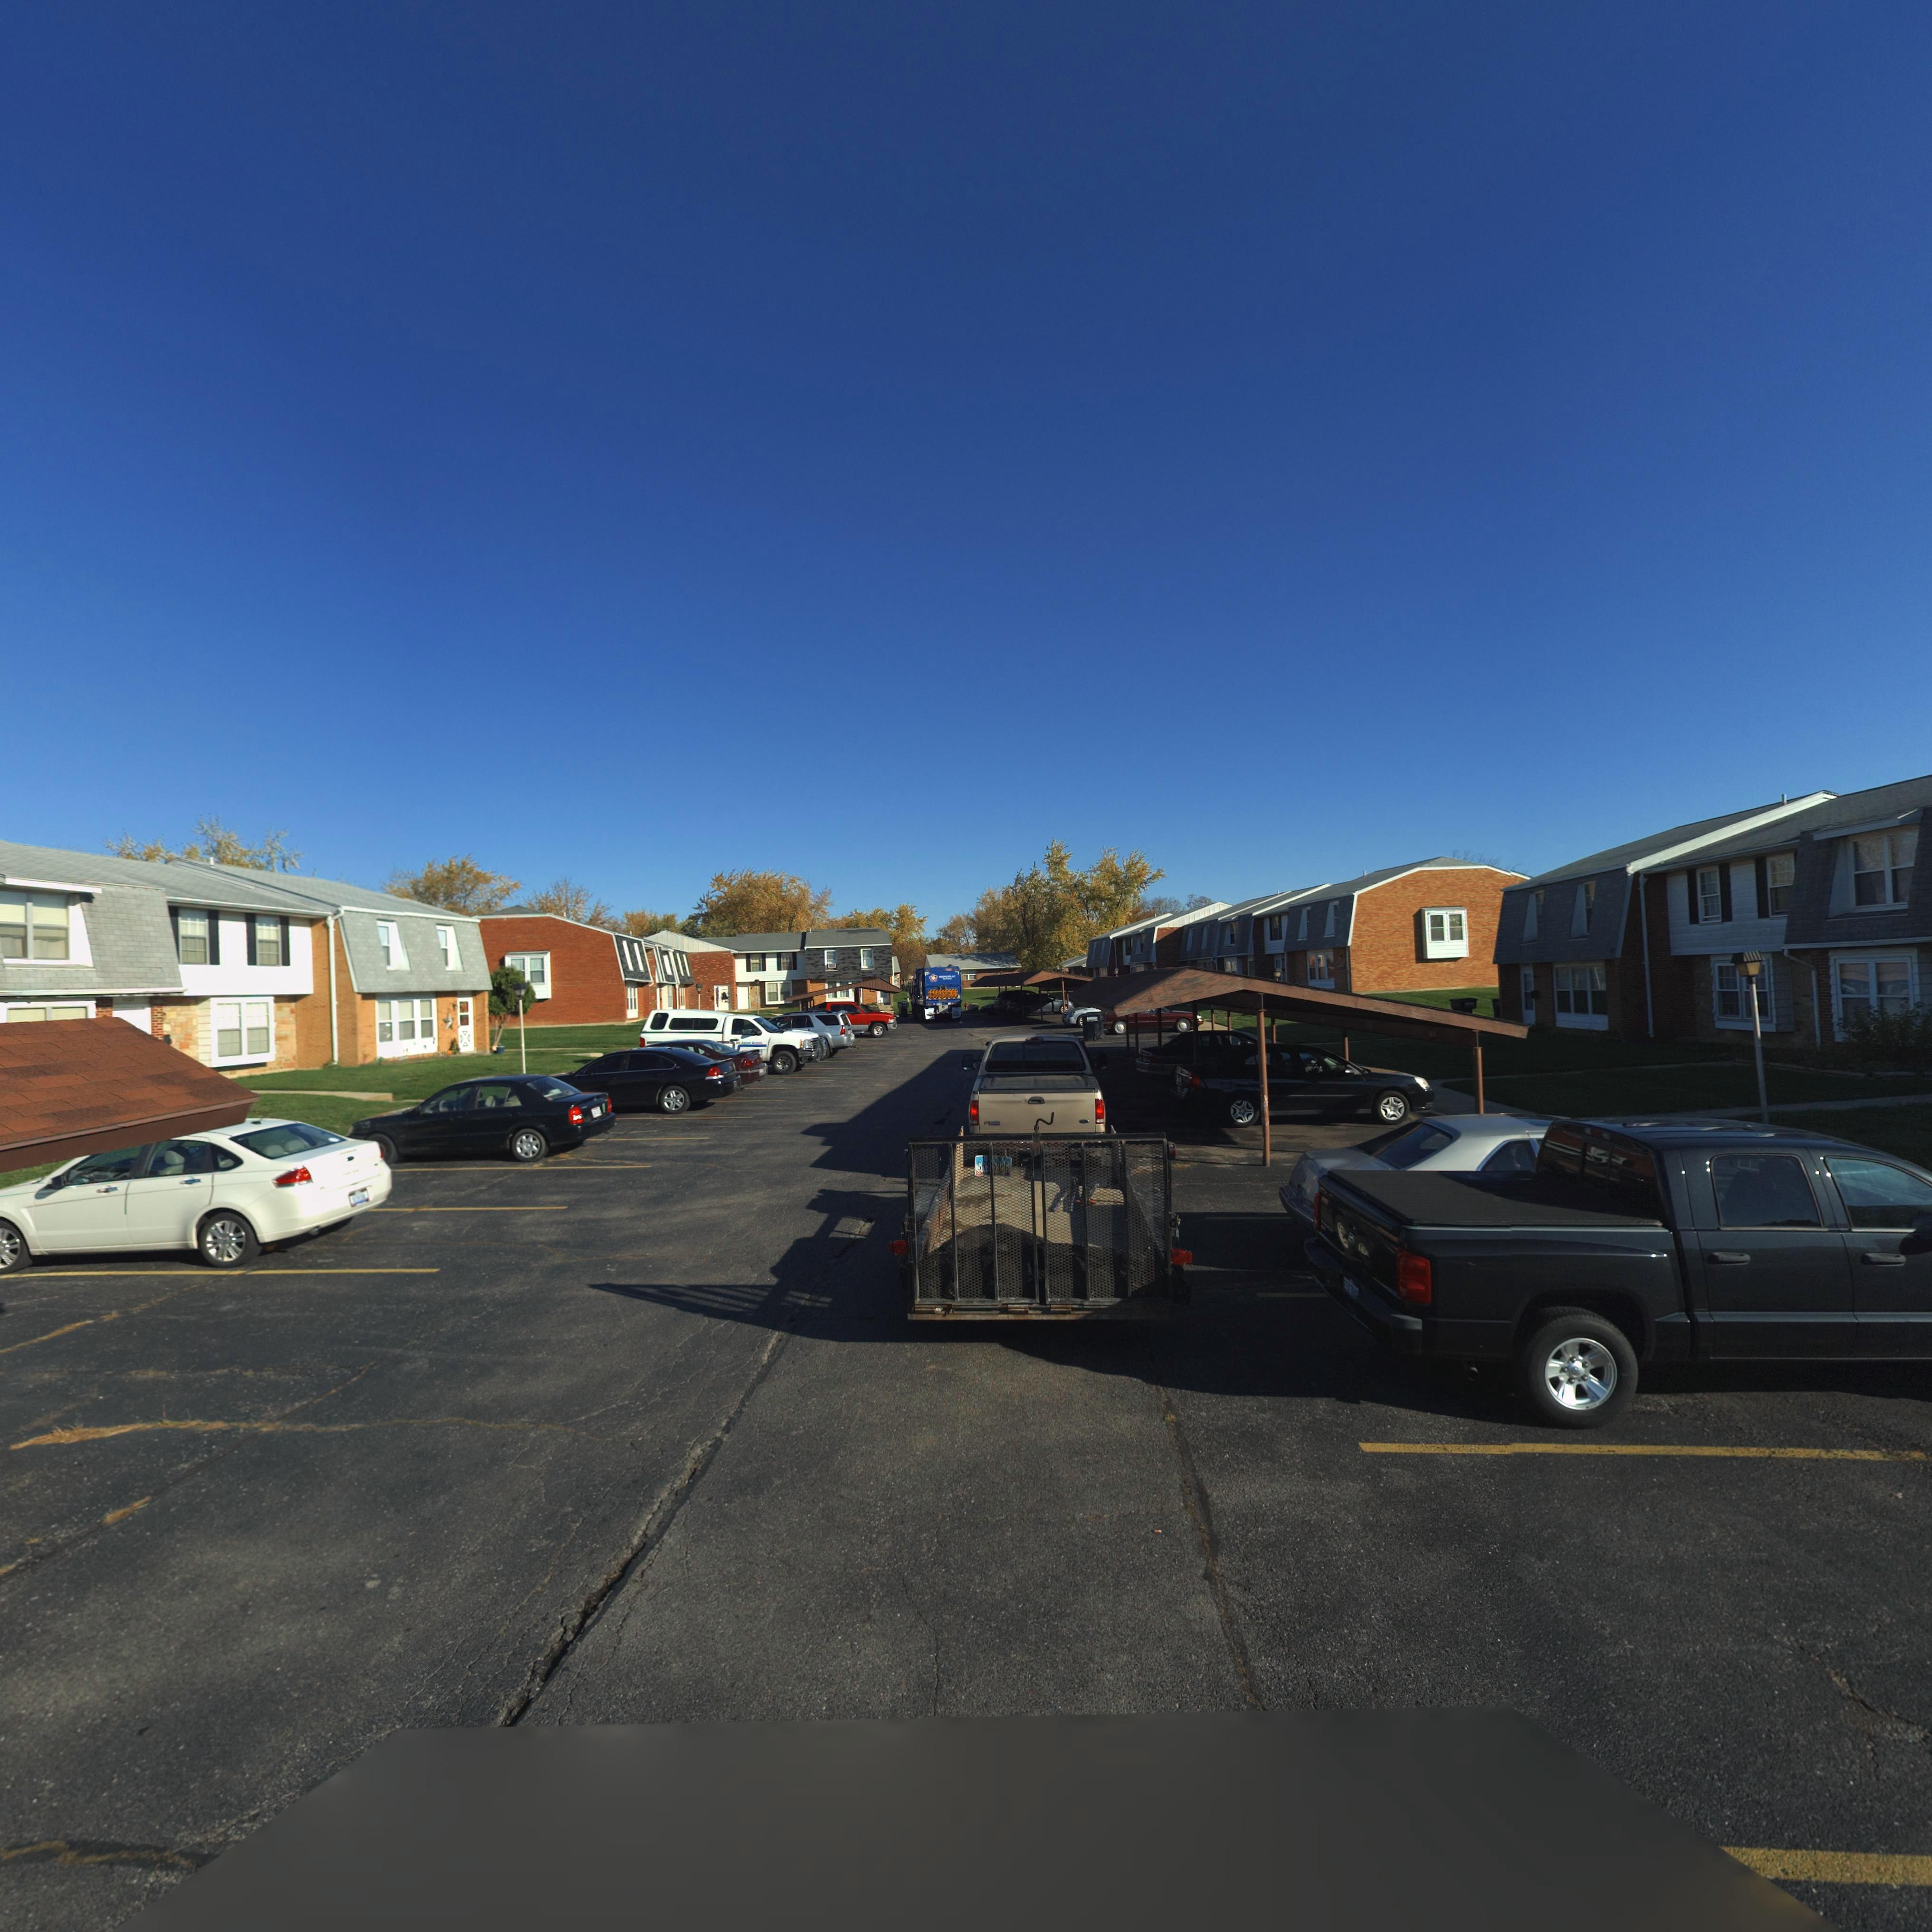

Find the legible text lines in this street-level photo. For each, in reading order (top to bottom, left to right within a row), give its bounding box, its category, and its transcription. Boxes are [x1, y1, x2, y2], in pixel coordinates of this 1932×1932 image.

[122, 997, 135, 1002] StreetNumber: 752*
[1364, 1023, 1372, 1027] StreetNumber: 7***
[1427, 1031, 1436, 1037] StreetNumber: 7***